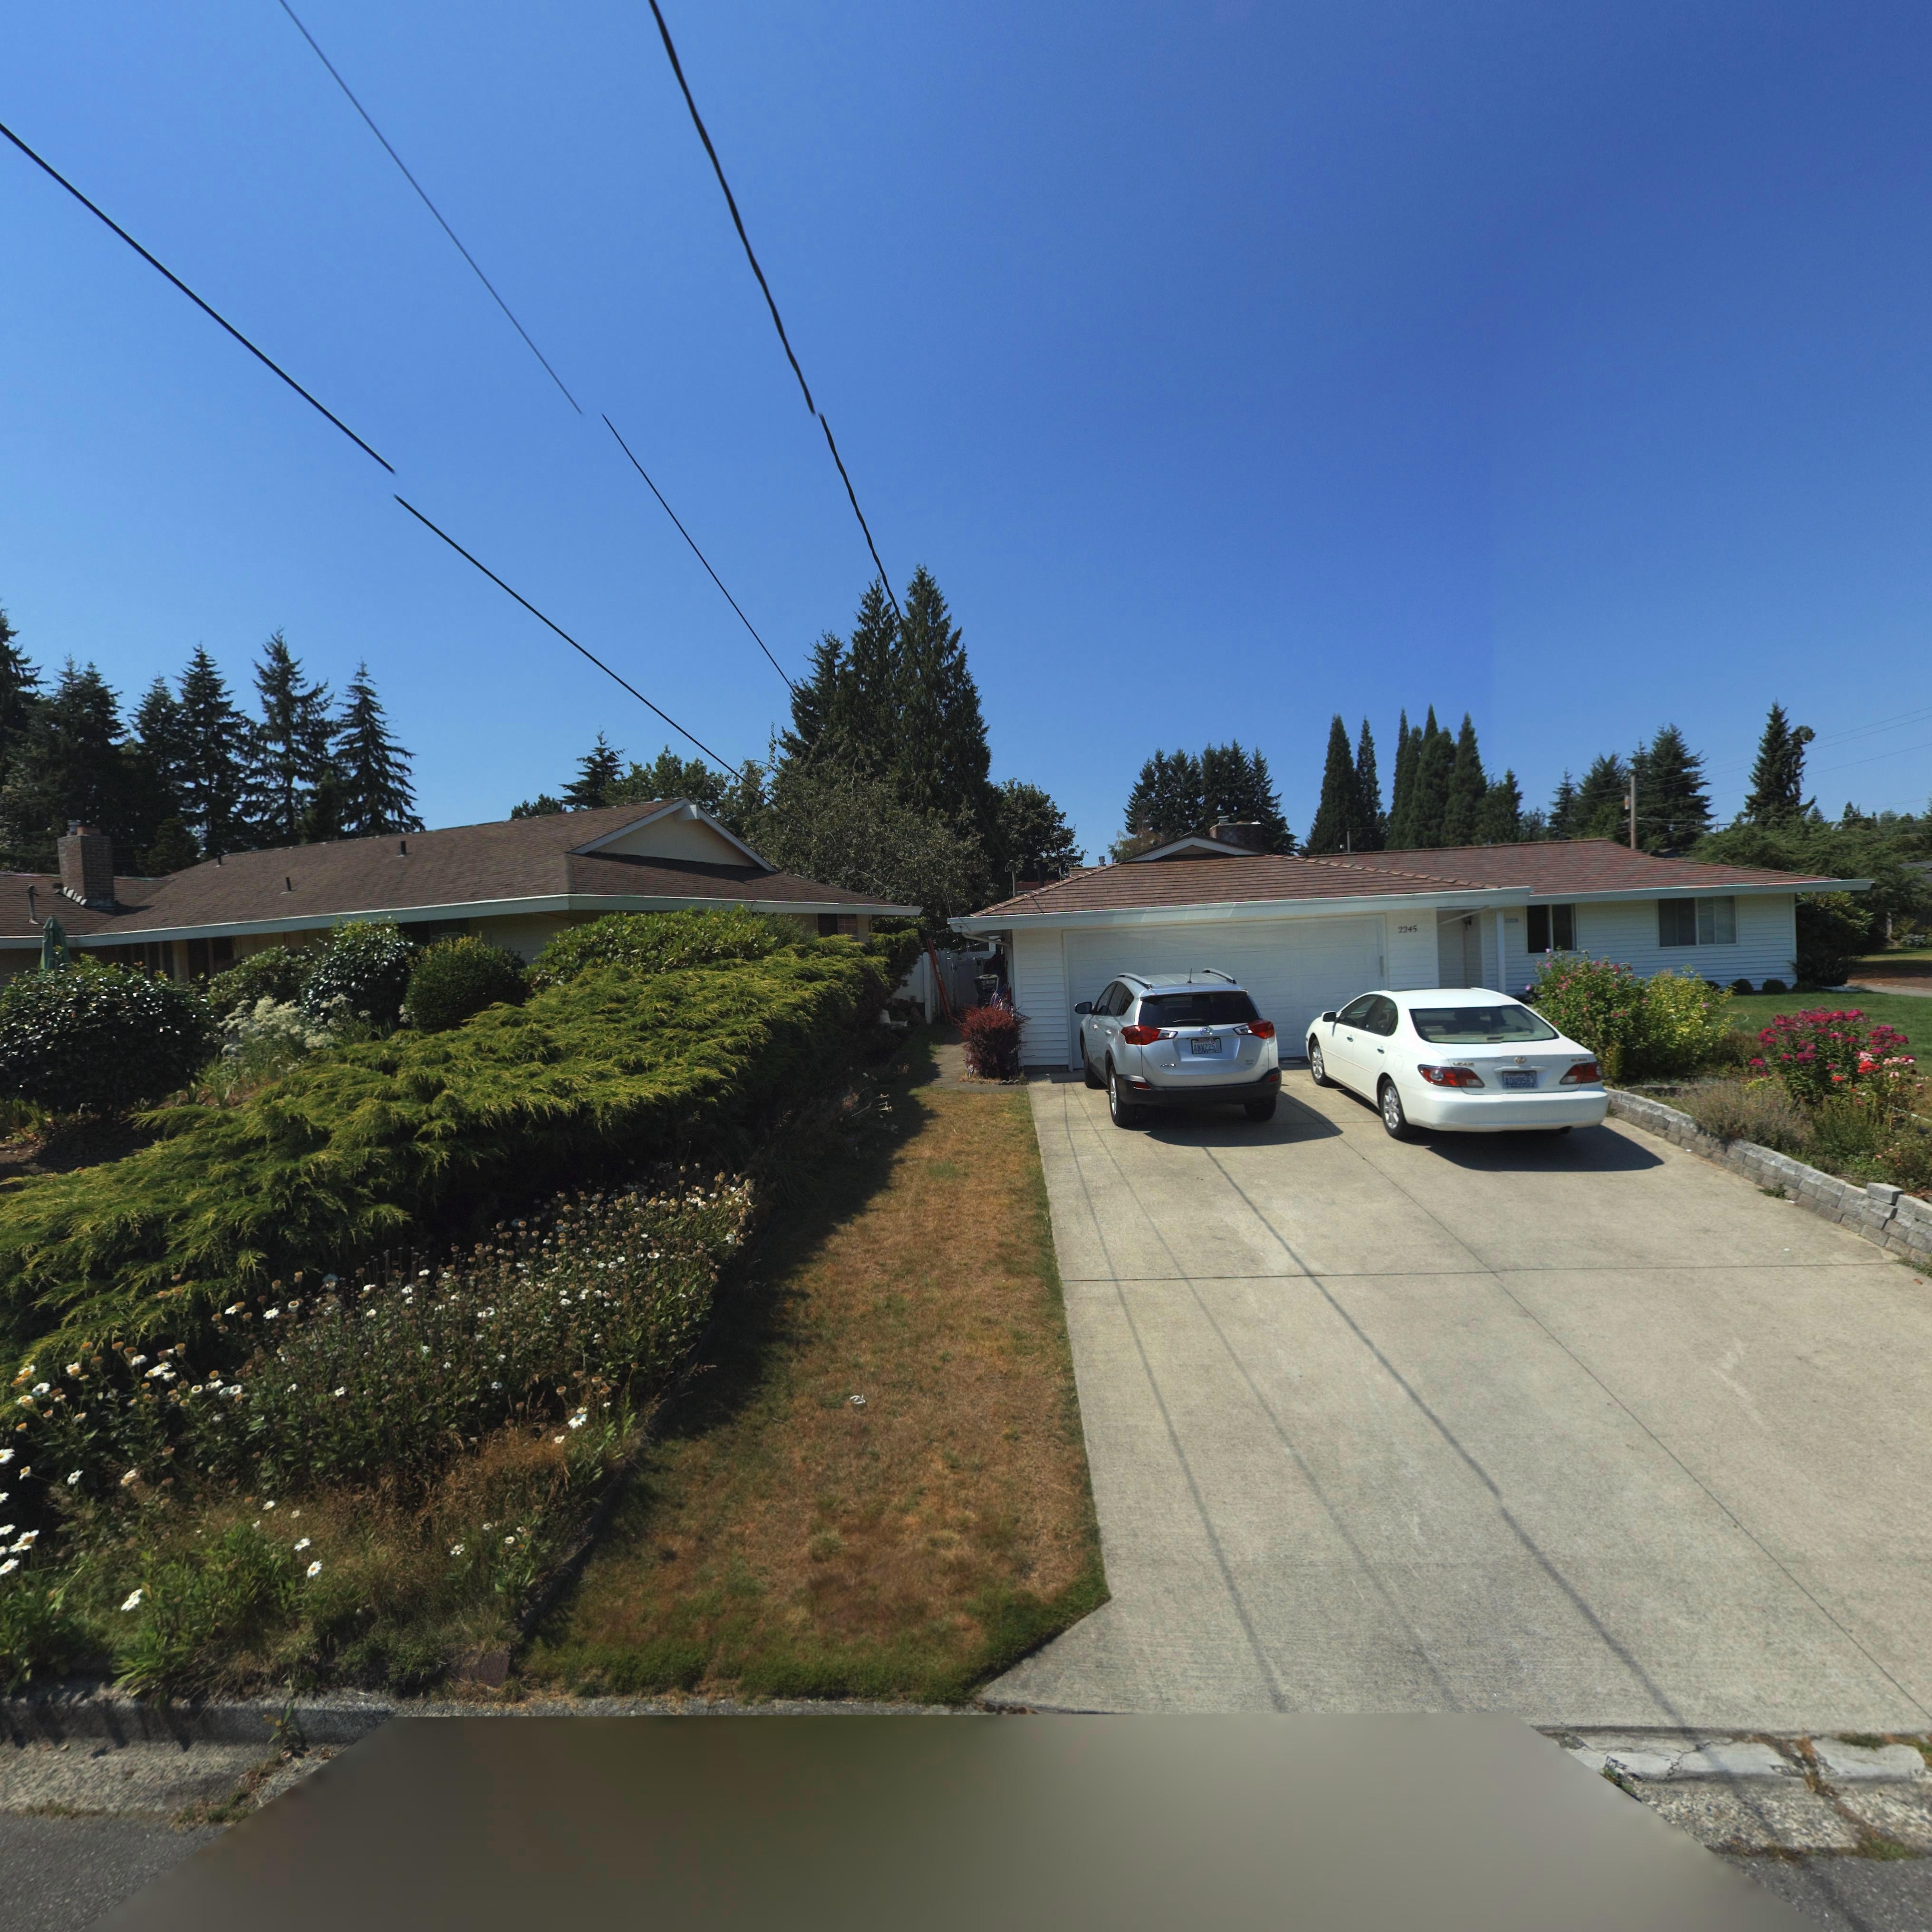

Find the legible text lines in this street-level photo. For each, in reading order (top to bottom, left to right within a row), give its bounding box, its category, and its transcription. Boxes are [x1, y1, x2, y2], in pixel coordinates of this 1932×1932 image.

[1397, 924, 1418, 933] StreetNumber: 2245